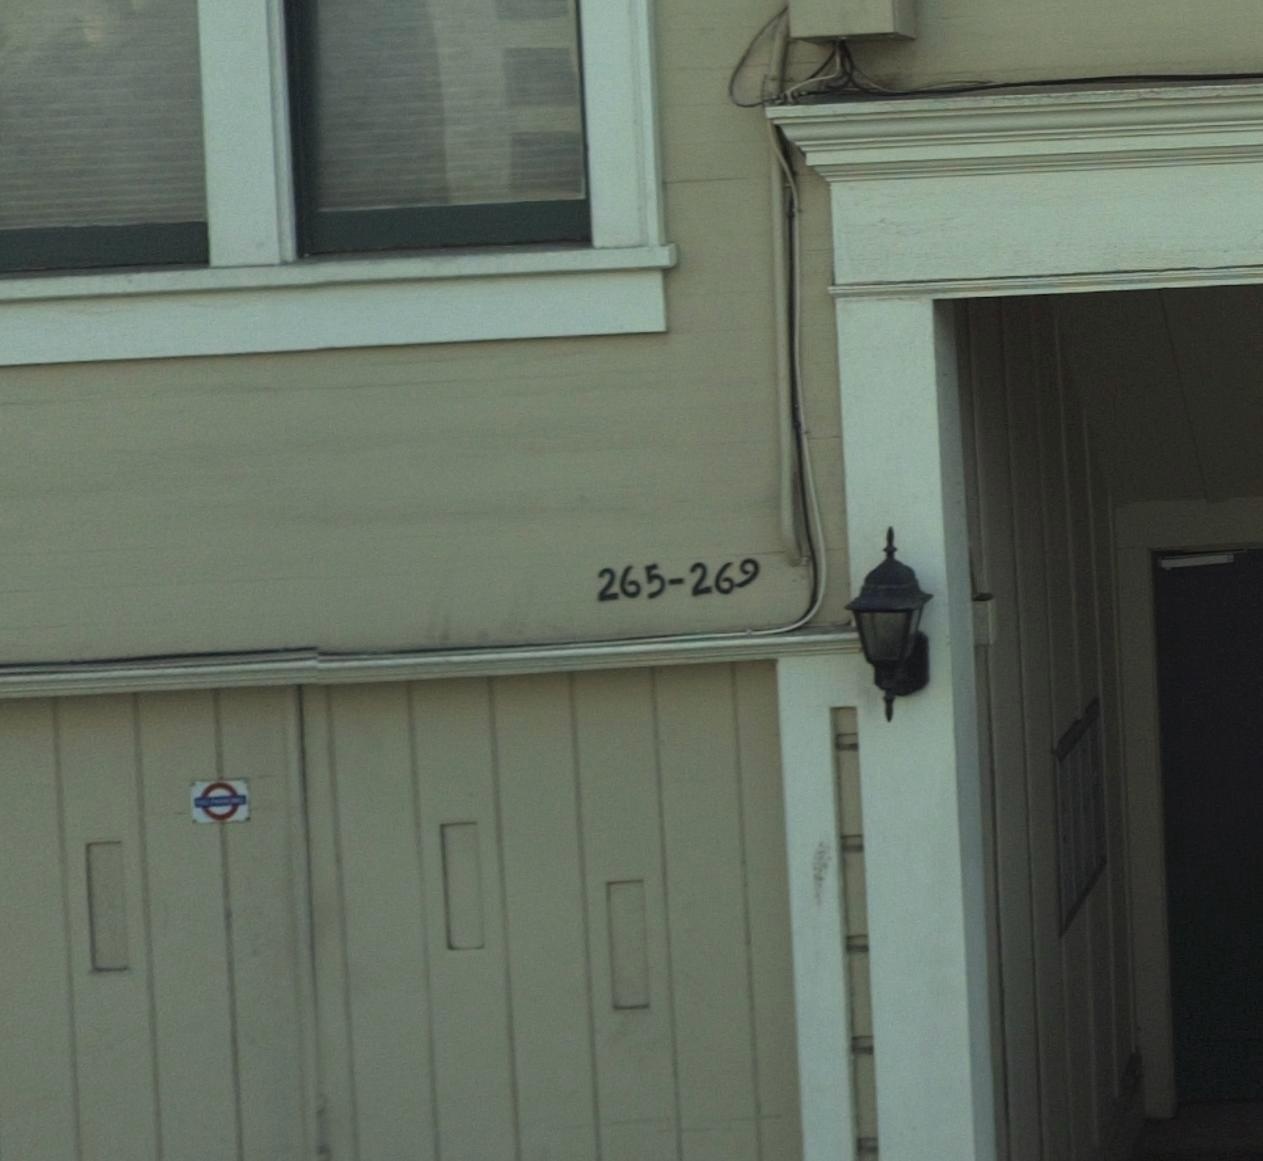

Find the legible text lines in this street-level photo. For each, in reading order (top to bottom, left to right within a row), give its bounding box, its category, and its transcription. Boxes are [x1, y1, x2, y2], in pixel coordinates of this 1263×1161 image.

[592, 558, 670, 608] StreetNumber: 265
[684, 553, 766, 603] StreetNumber: 269